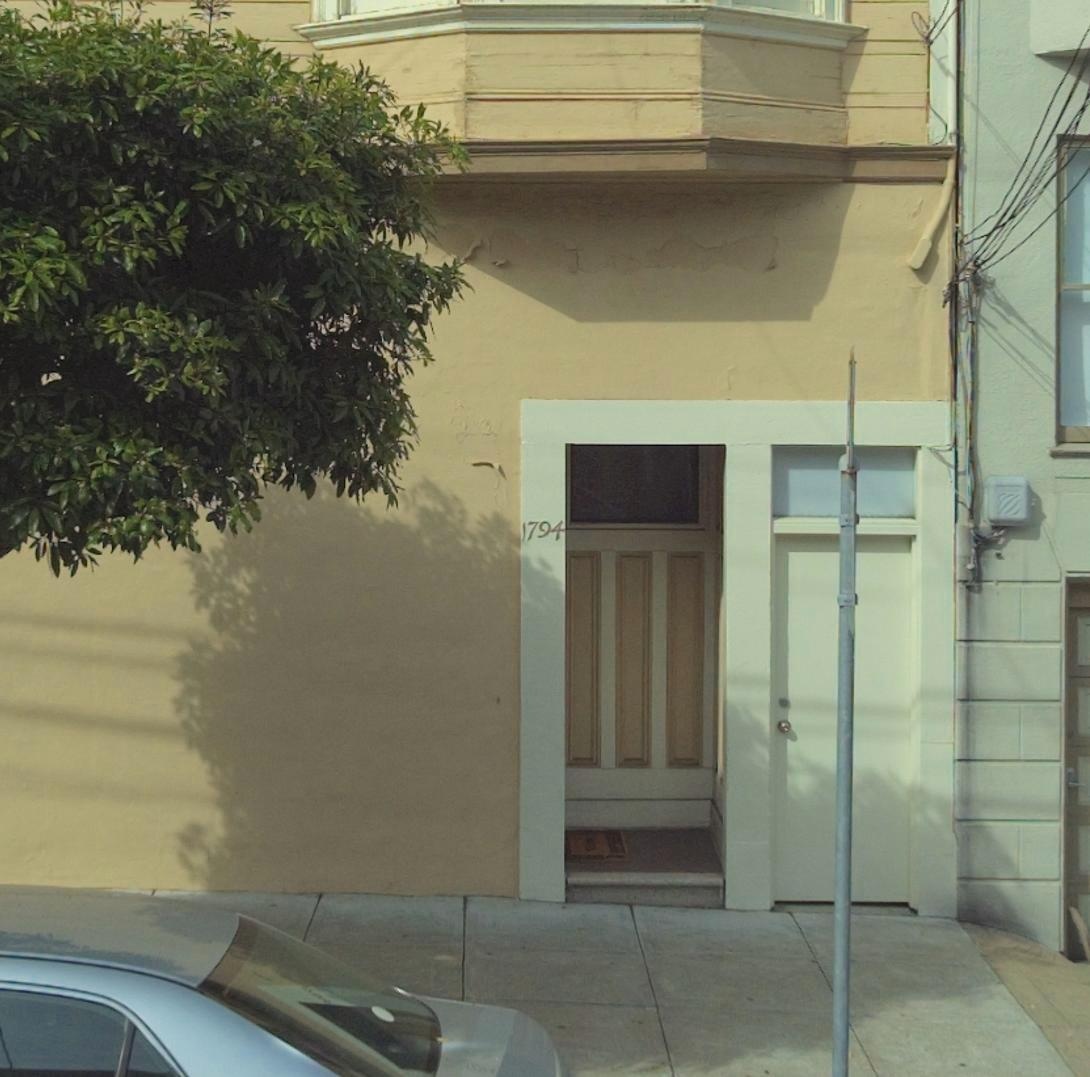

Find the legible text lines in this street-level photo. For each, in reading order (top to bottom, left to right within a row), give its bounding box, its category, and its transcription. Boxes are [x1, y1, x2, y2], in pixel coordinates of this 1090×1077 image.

[520, 517, 566, 544] StreetNumber: 1794